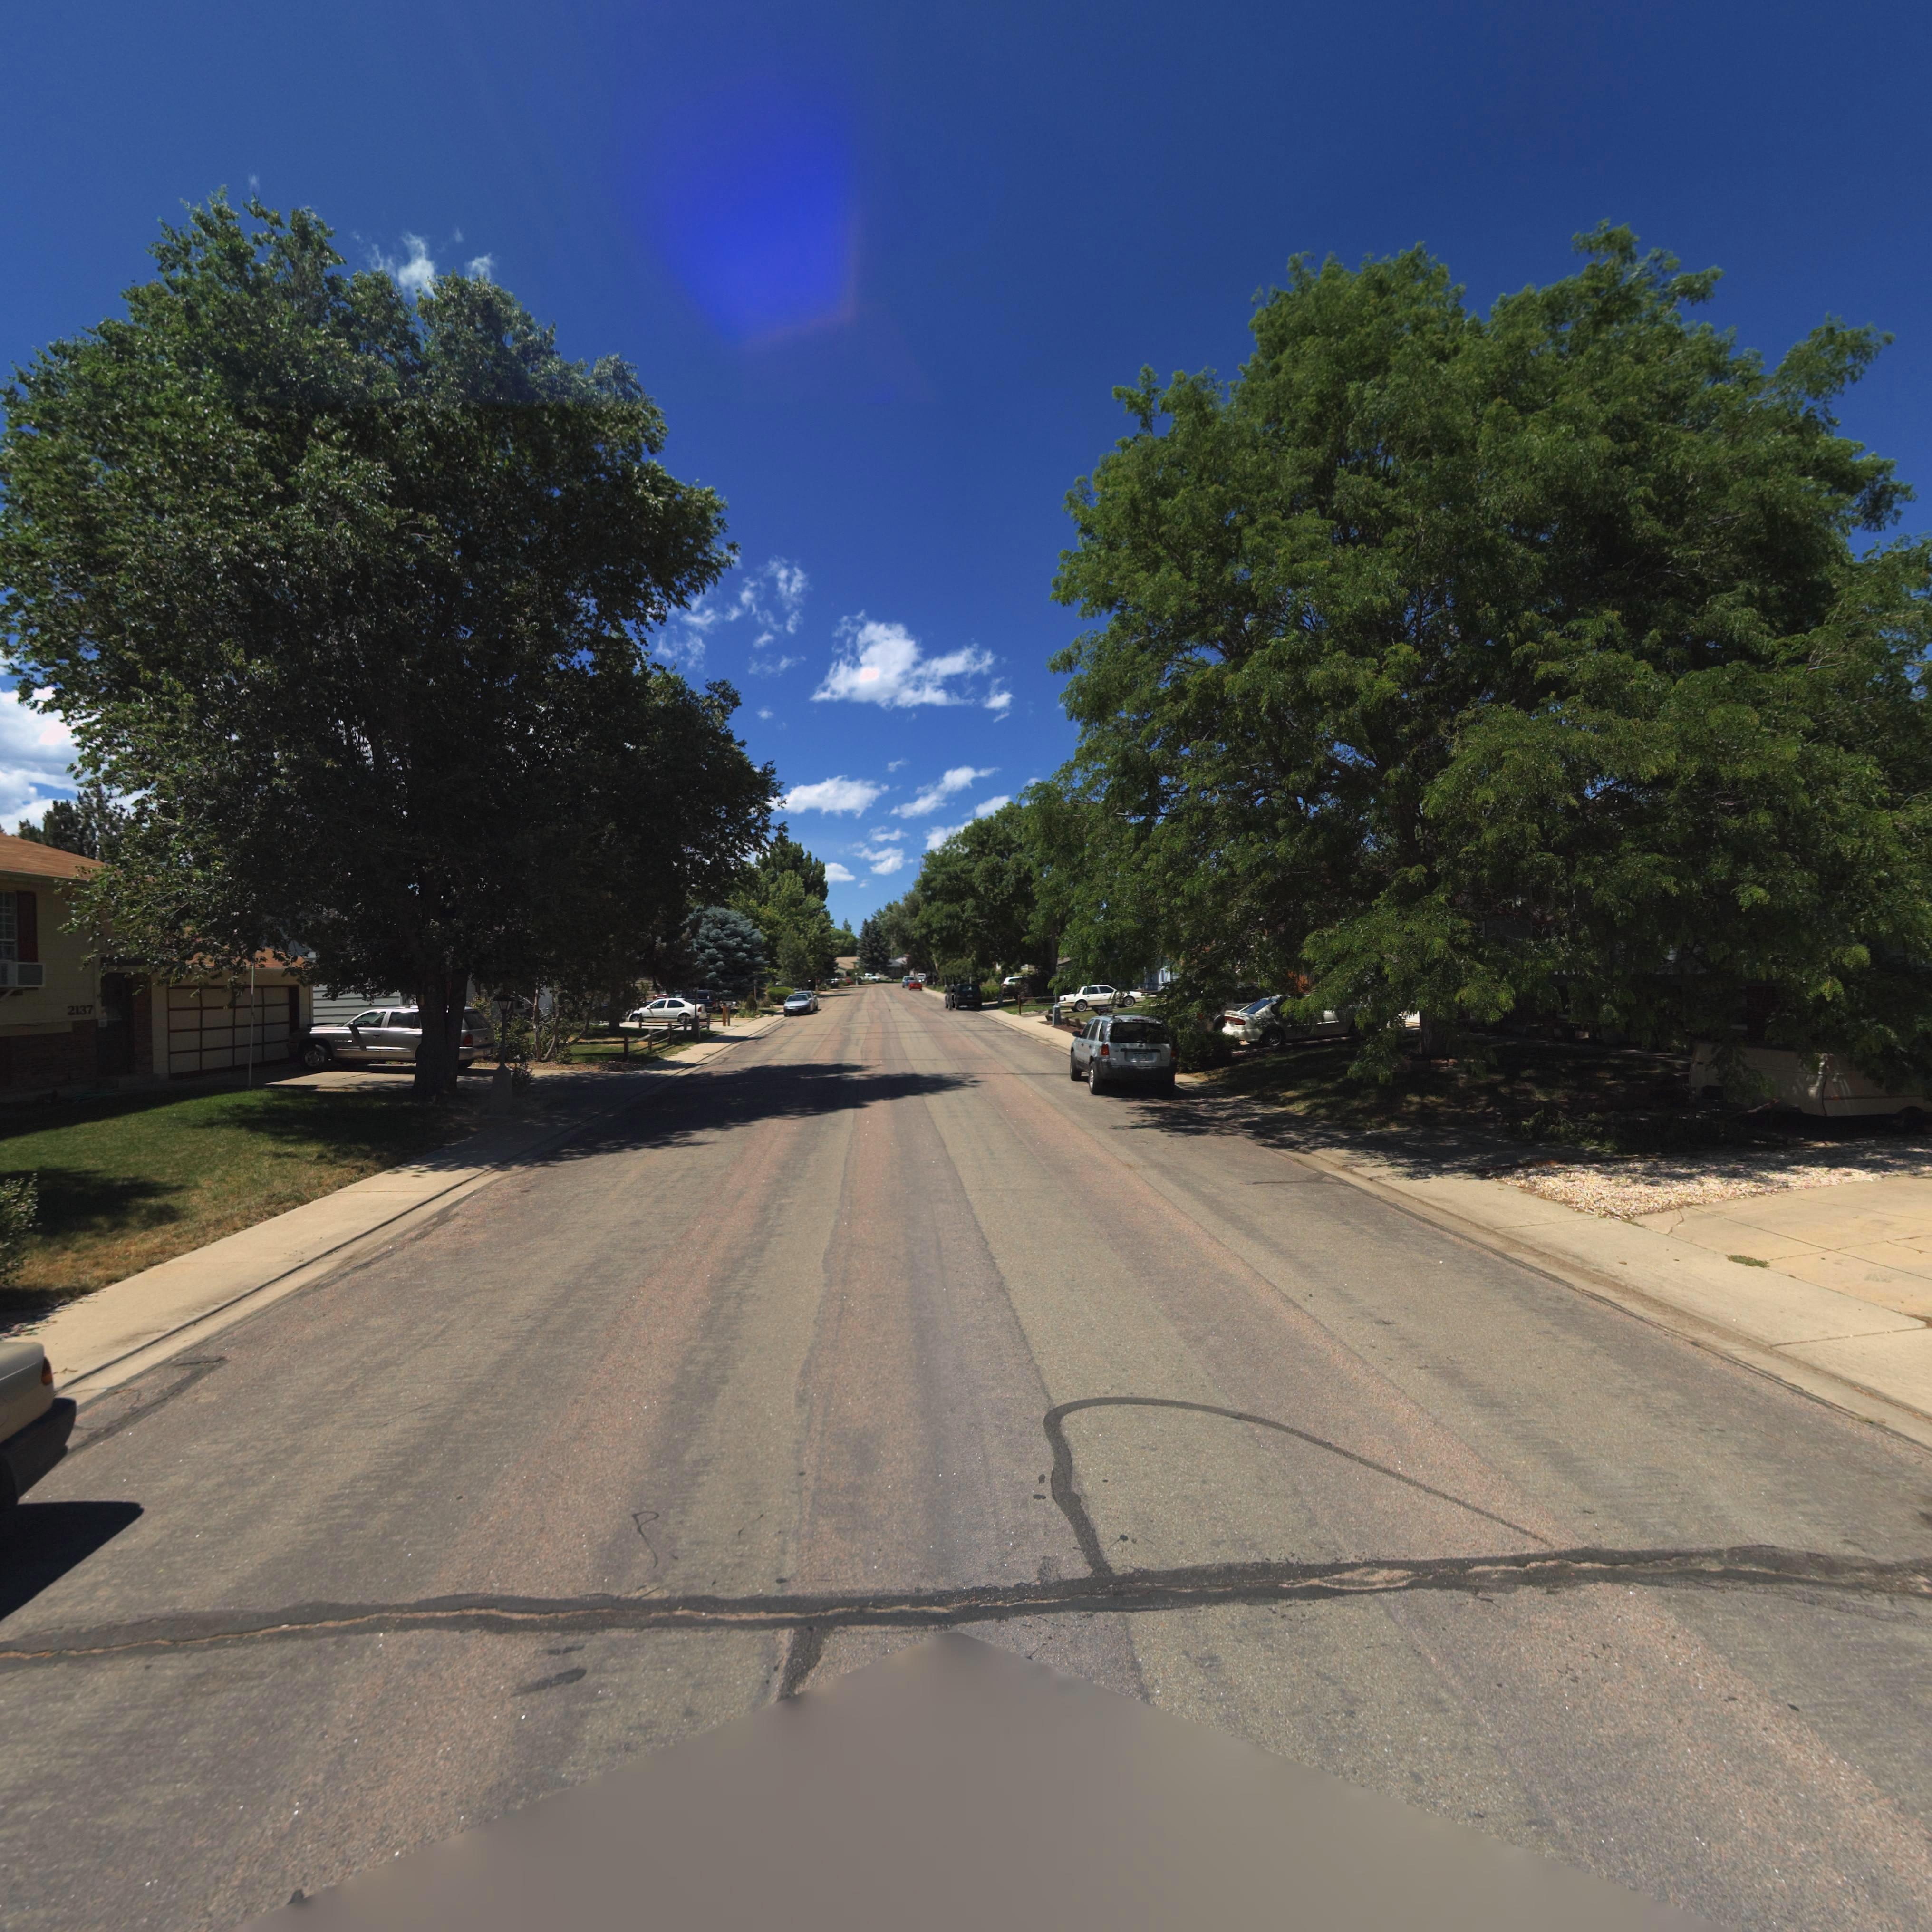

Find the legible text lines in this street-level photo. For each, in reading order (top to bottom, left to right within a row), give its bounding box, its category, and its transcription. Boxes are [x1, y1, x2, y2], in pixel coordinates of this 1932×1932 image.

[66, 1004, 94, 1016] StreetNumber: 2137